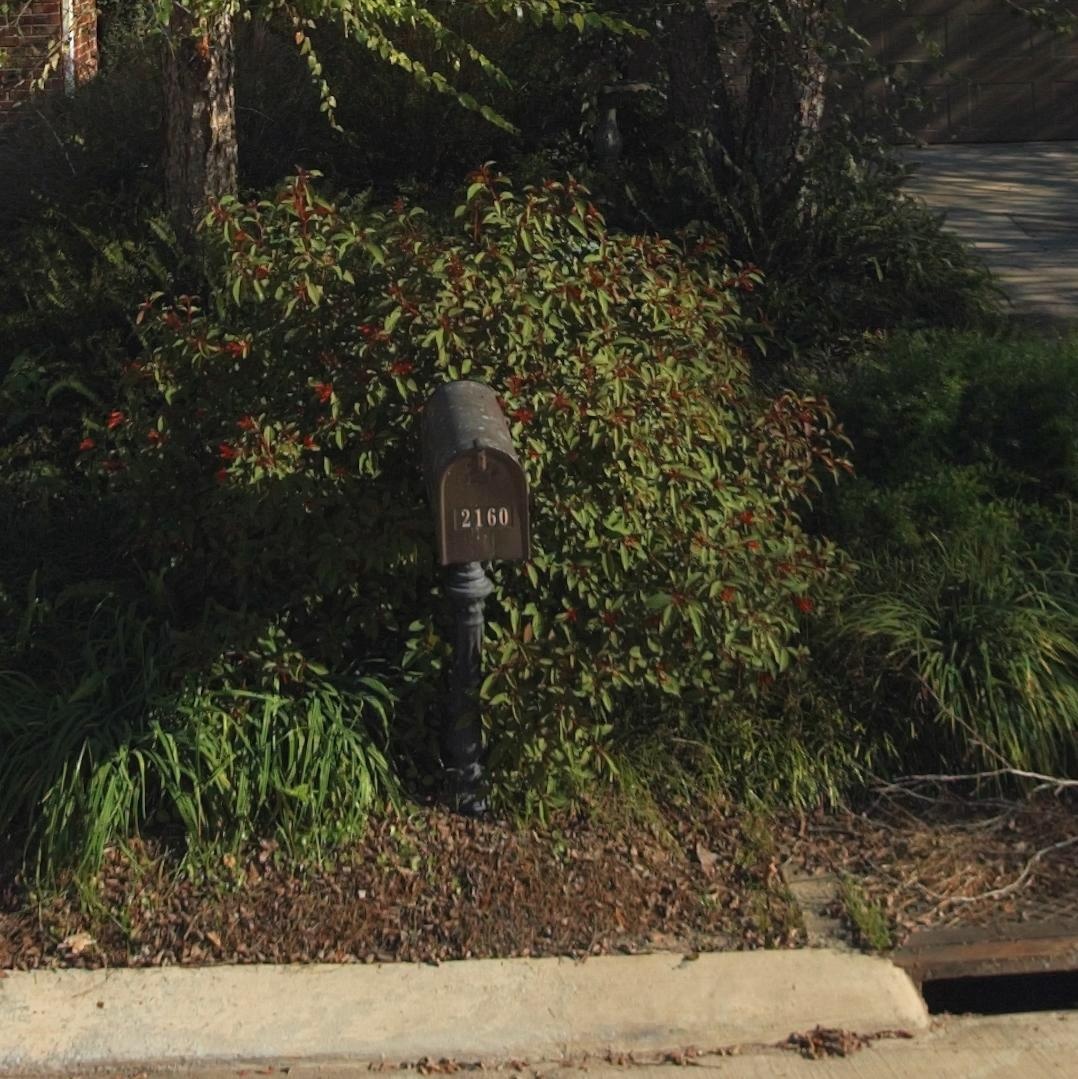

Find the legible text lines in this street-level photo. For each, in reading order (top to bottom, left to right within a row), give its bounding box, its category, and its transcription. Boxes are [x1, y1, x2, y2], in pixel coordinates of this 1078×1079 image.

[459, 506, 510, 531] StreetNumber: 2160